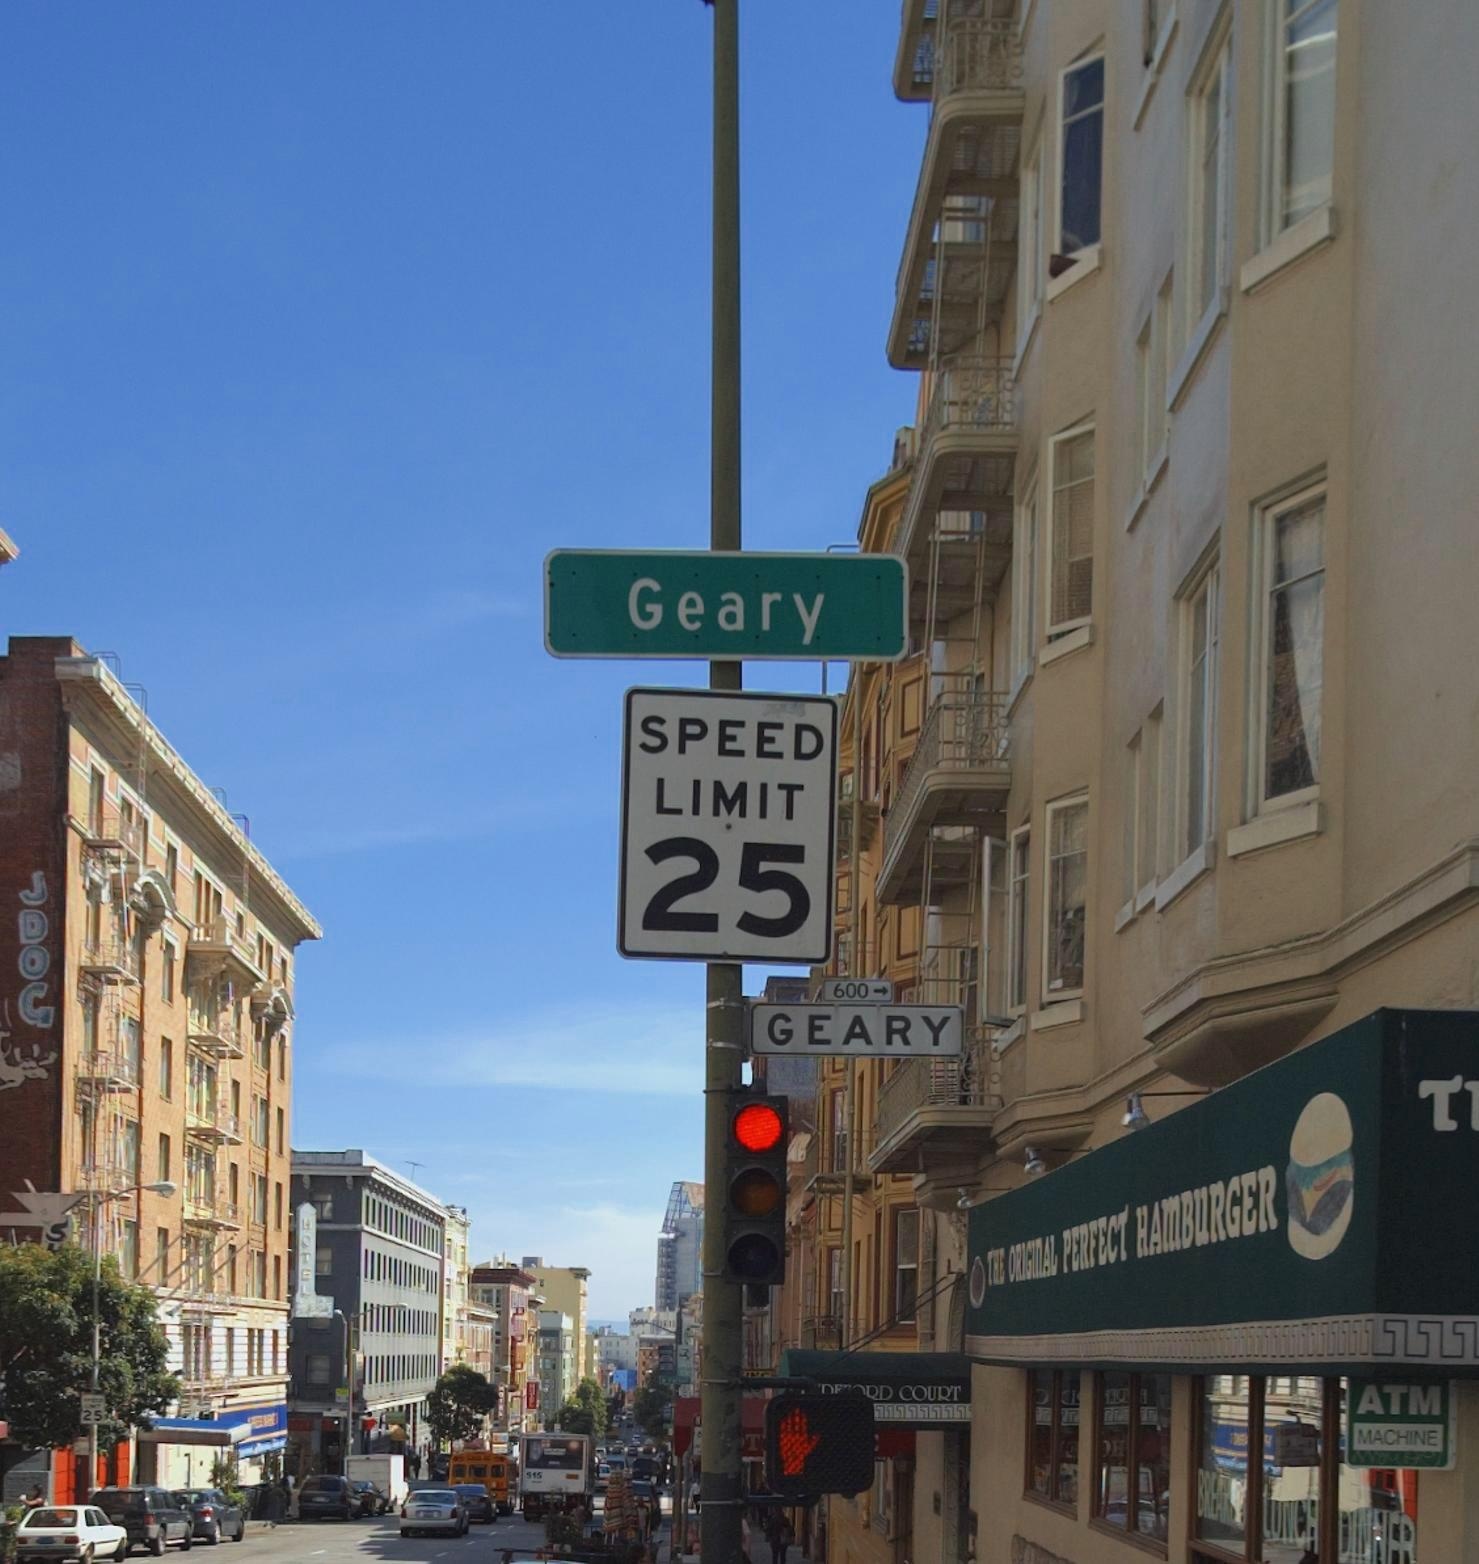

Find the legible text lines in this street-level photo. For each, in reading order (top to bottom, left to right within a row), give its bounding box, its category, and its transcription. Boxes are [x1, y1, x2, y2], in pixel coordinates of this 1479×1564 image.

[619, 572, 830, 648] StreetName: Geary
[635, 711, 830, 765] None: SPEED
[653, 773, 810, 825] None: LIMIT
[638, 833, 815, 941] None: 25
[15, 865, 59, 1032] None: JDOG
[829, 979, 892, 1001] StreetNumberRange: 600->
[765, 1009, 956, 1050] StreetName: GEARY
[1415, 1070, 1466, 1136] None: T
[41, 1216, 71, 1246] BusinessName: S
[984, 1160, 1283, 1291] BusinessName: THE ORIGINAL PERFECT HAMBURGER
[298, 1216, 314, 1299] BusinessName: HOTEL
[80, 1408, 105, 1423] None: 25
[877, 1382, 964, 1403] BusinessName: D COURT
[1352, 1381, 1444, 1418] None: ATM
[1355, 1426, 1441, 1449] None: MACHINE
[524, 1469, 545, 1481] None: 515